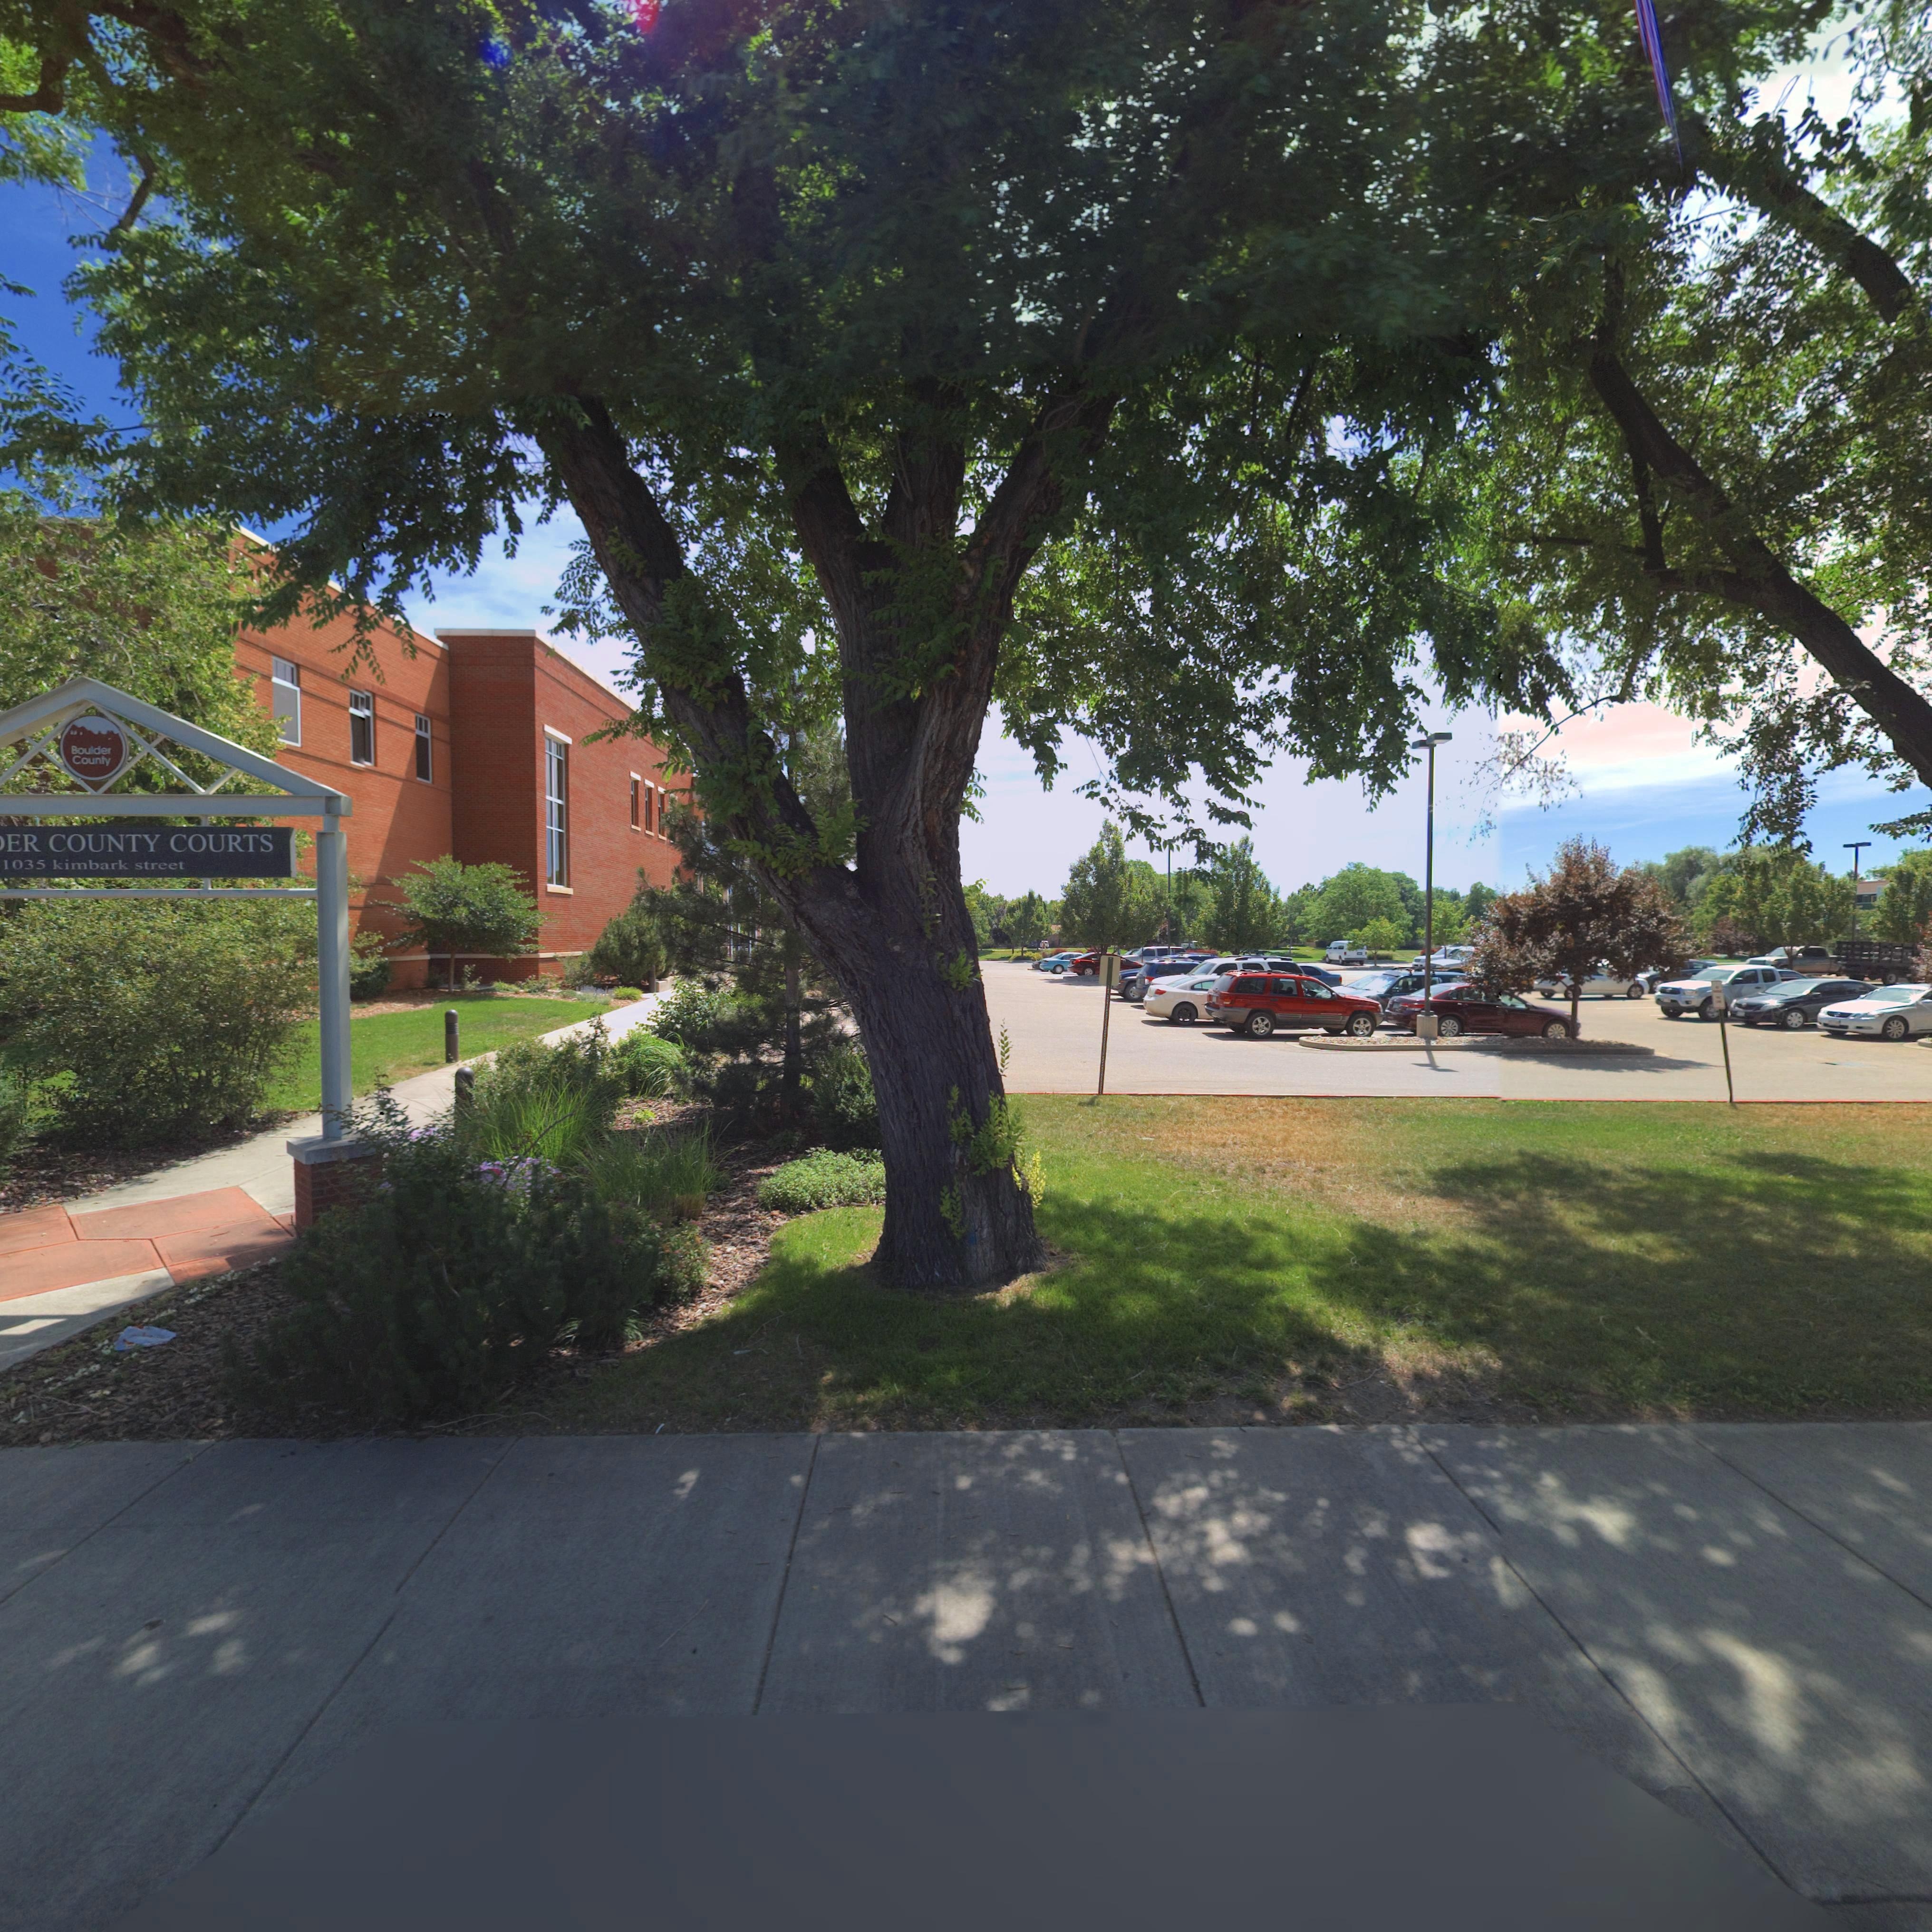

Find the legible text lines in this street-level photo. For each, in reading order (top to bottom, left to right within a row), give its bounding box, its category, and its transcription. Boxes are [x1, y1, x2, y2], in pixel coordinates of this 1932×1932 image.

[2, 858, 46, 871] StreetNumber: 1035
[52, 857, 185, 870] BusinessName: kimbark street